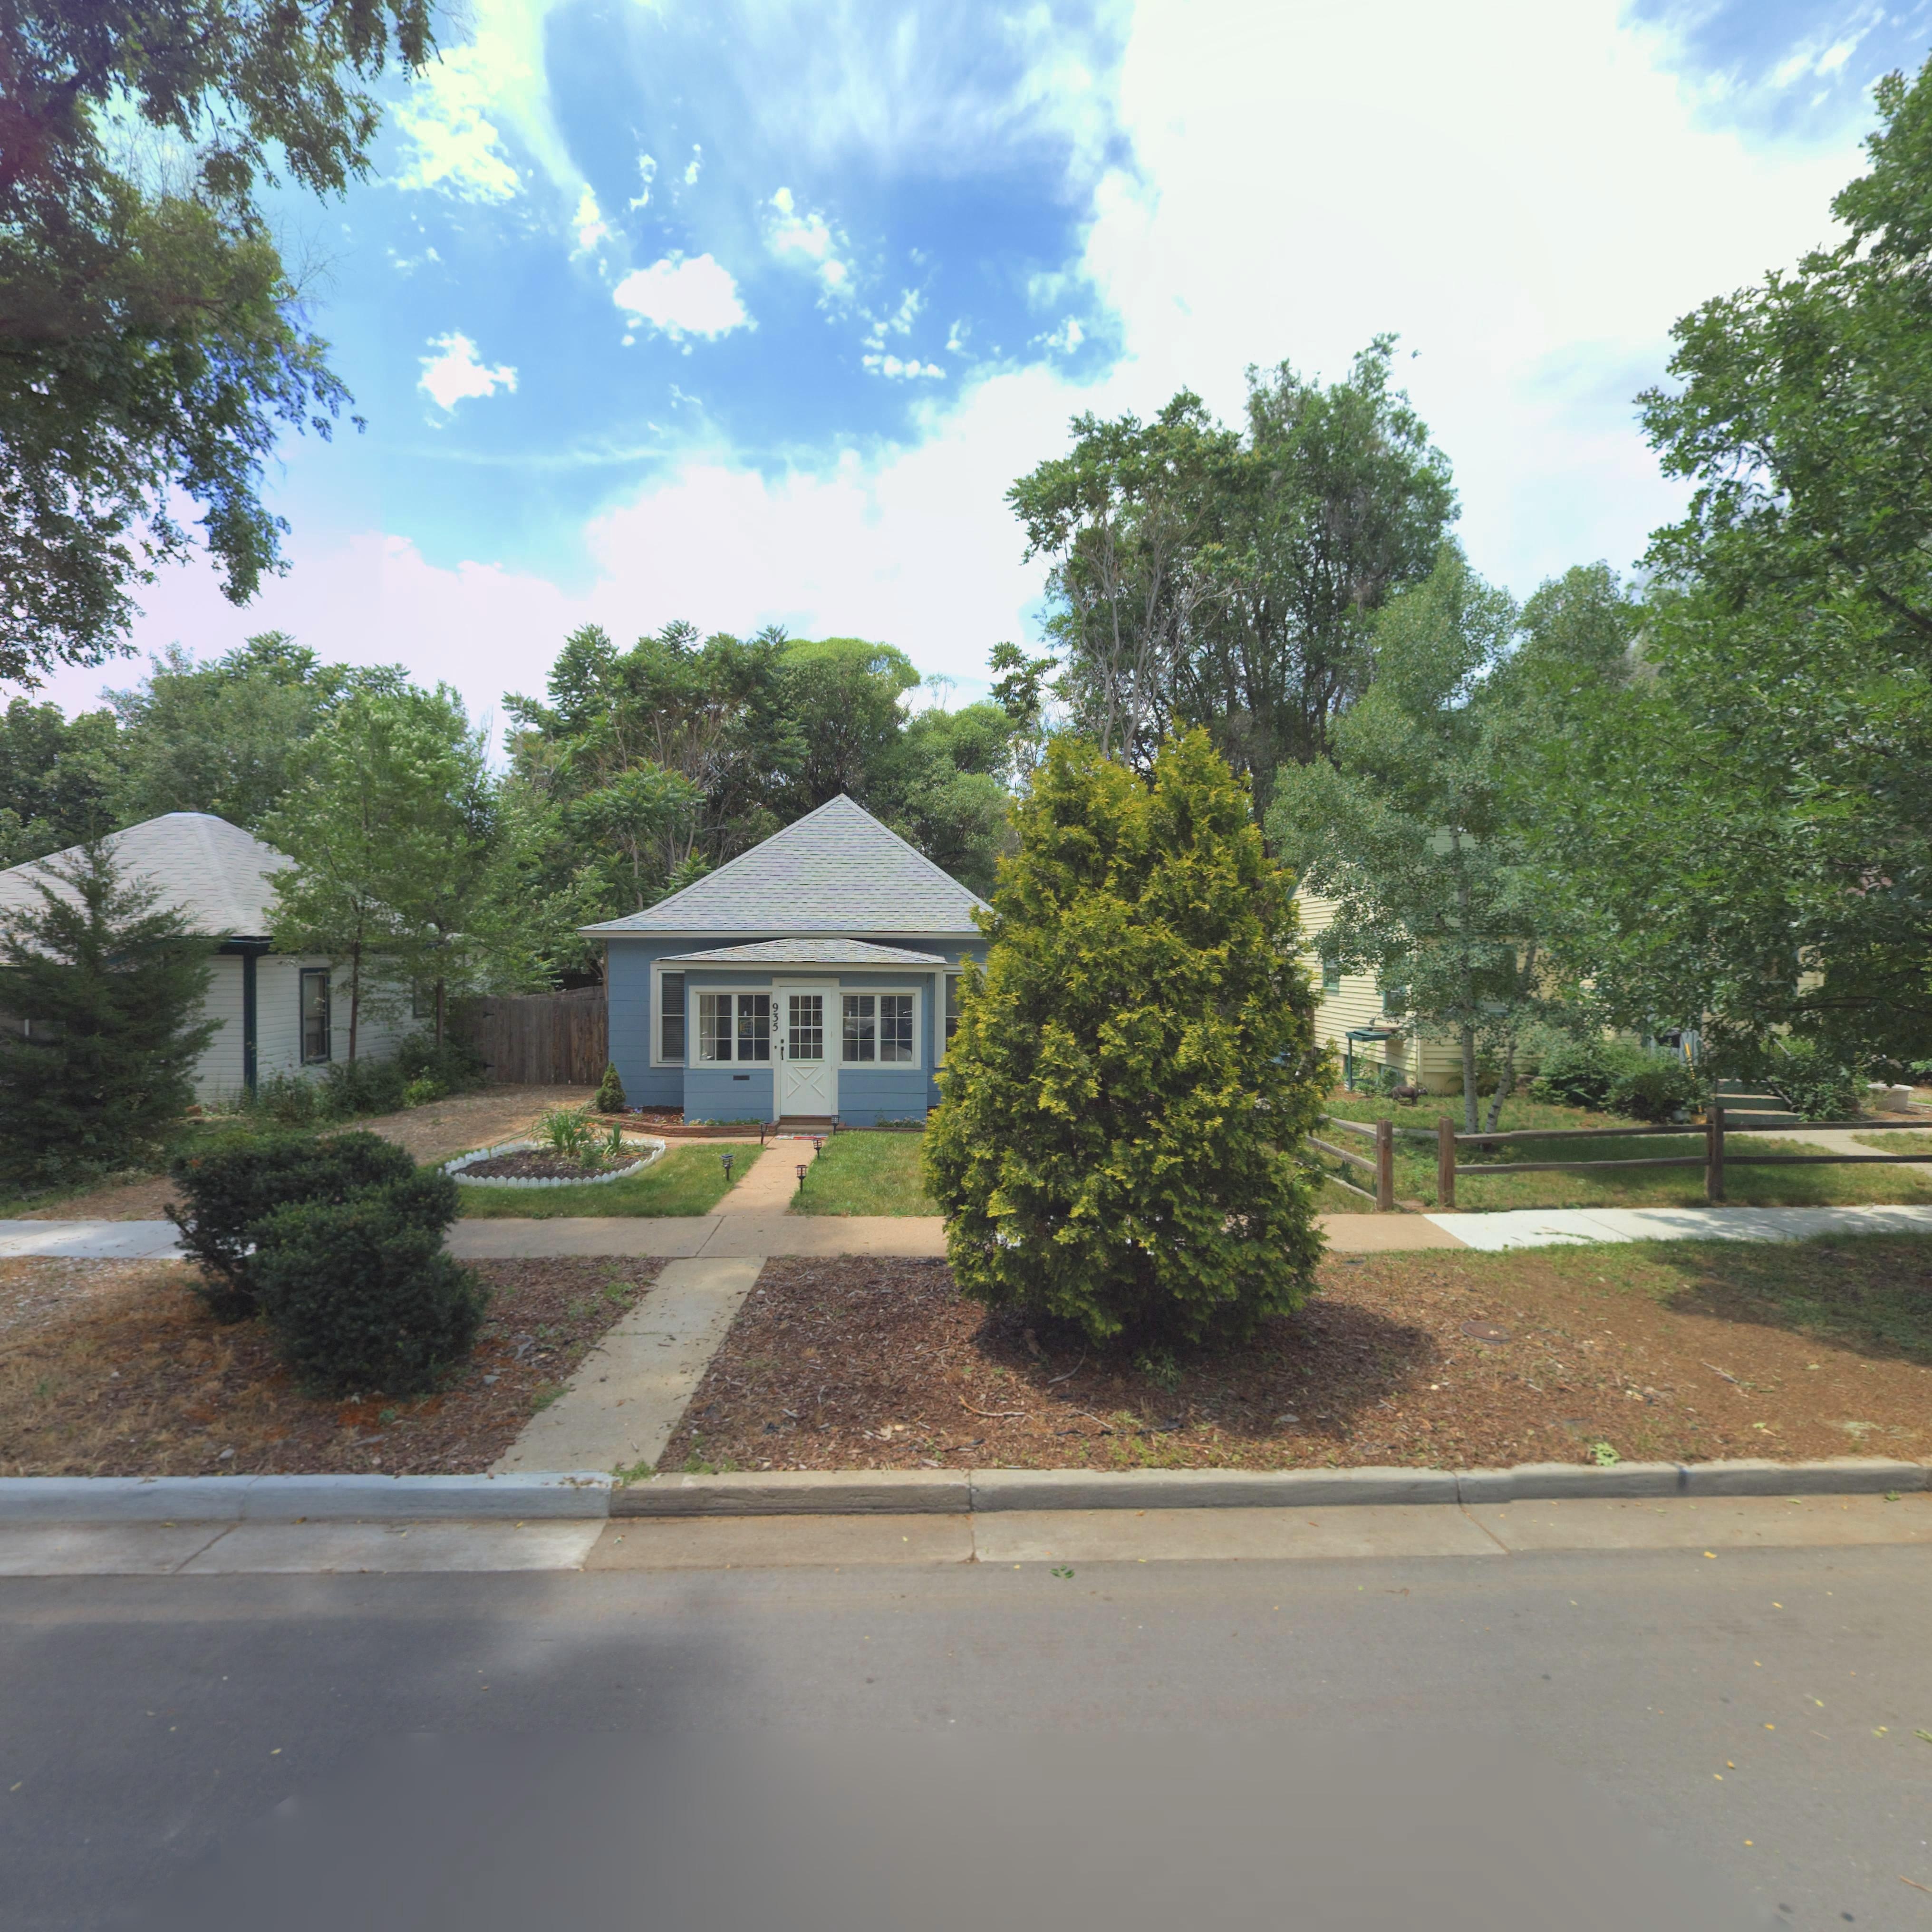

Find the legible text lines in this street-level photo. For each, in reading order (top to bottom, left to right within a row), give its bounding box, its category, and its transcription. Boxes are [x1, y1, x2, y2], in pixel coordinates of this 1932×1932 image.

[772, 1003, 779, 1032] StreetNumber: 935